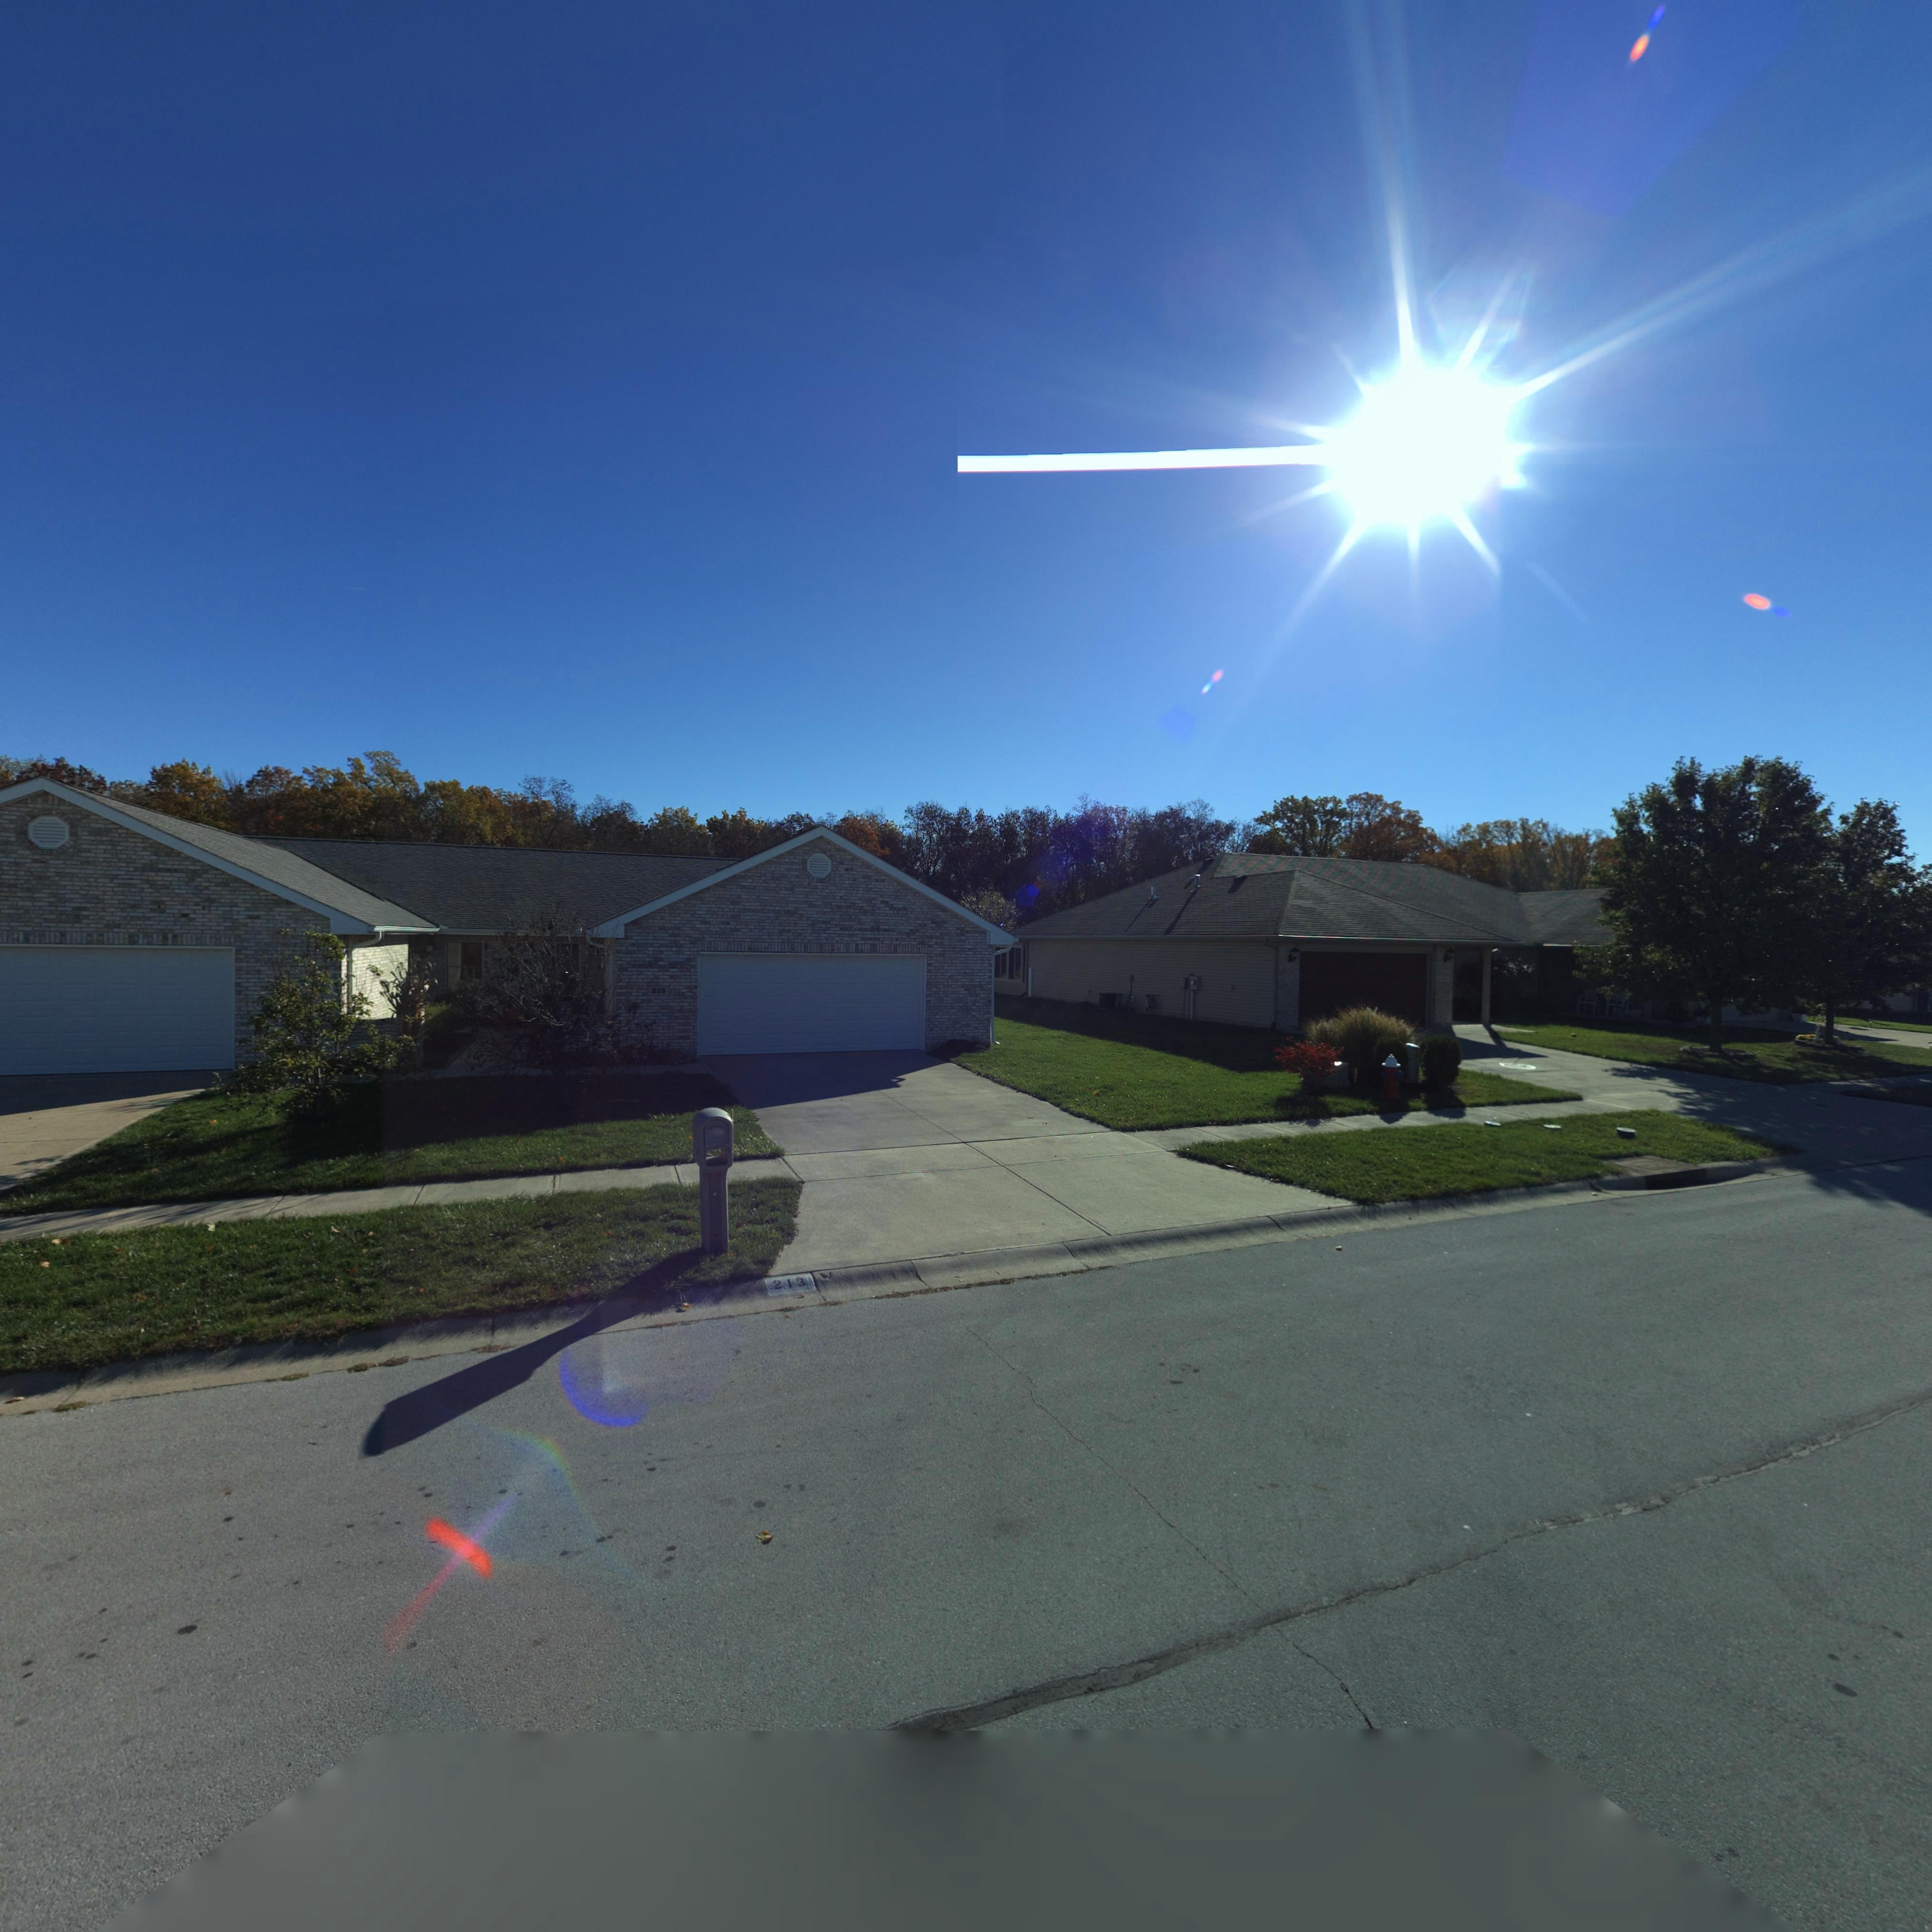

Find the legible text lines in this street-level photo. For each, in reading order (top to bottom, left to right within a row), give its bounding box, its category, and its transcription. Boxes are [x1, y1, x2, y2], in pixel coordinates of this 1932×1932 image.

[651, 986, 667, 995] StreetNumber: 213
[771, 1276, 808, 1292] StreetNumber: 213